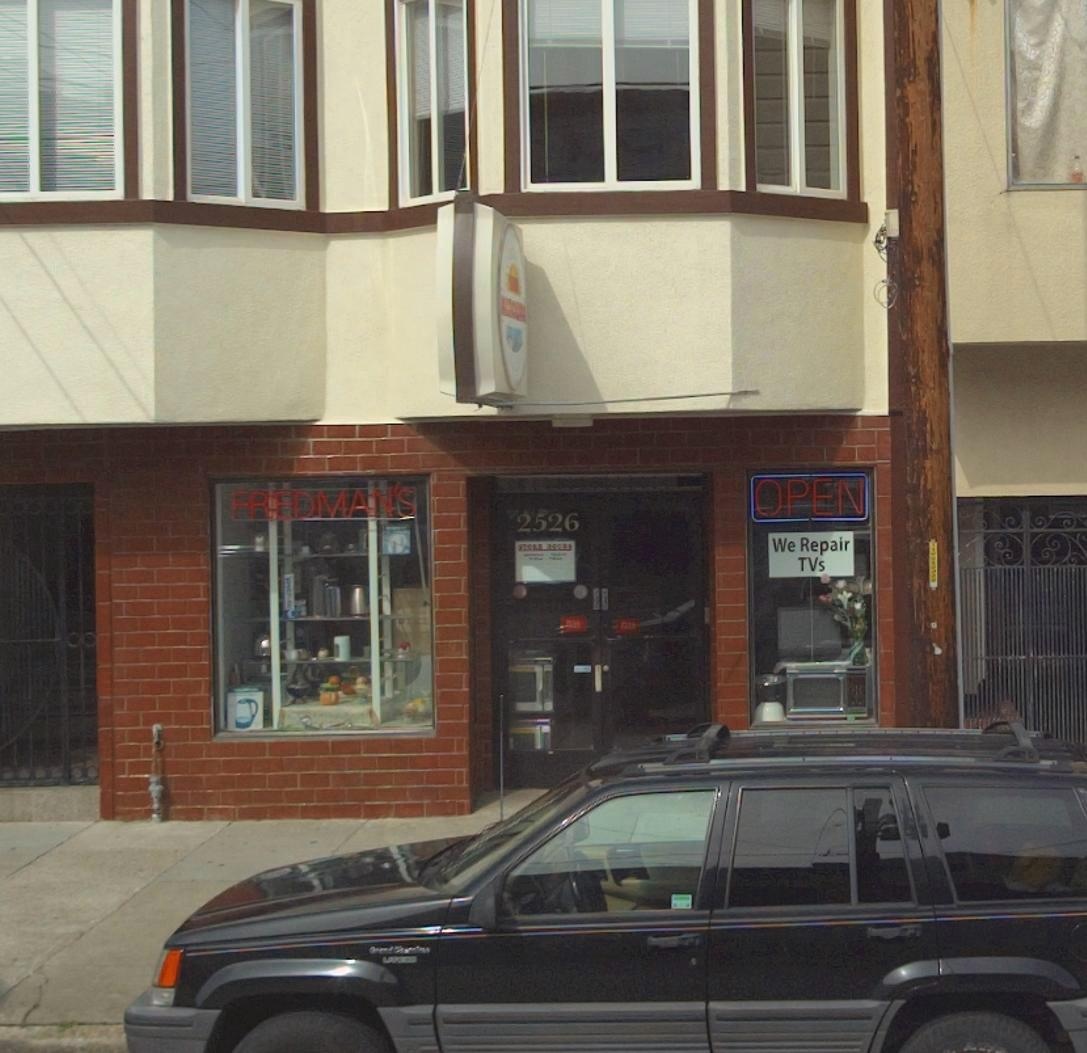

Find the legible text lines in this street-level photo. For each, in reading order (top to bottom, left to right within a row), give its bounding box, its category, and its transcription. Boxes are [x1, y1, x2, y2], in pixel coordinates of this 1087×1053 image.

[230, 481, 416, 521] BusinessName: FR*EDMAN'S
[754, 477, 864, 518] None: OPEN
[516, 512, 579, 533] StreetNumber: 2526
[771, 535, 851, 557] None: We Repair
[797, 556, 825, 573] None: TVs